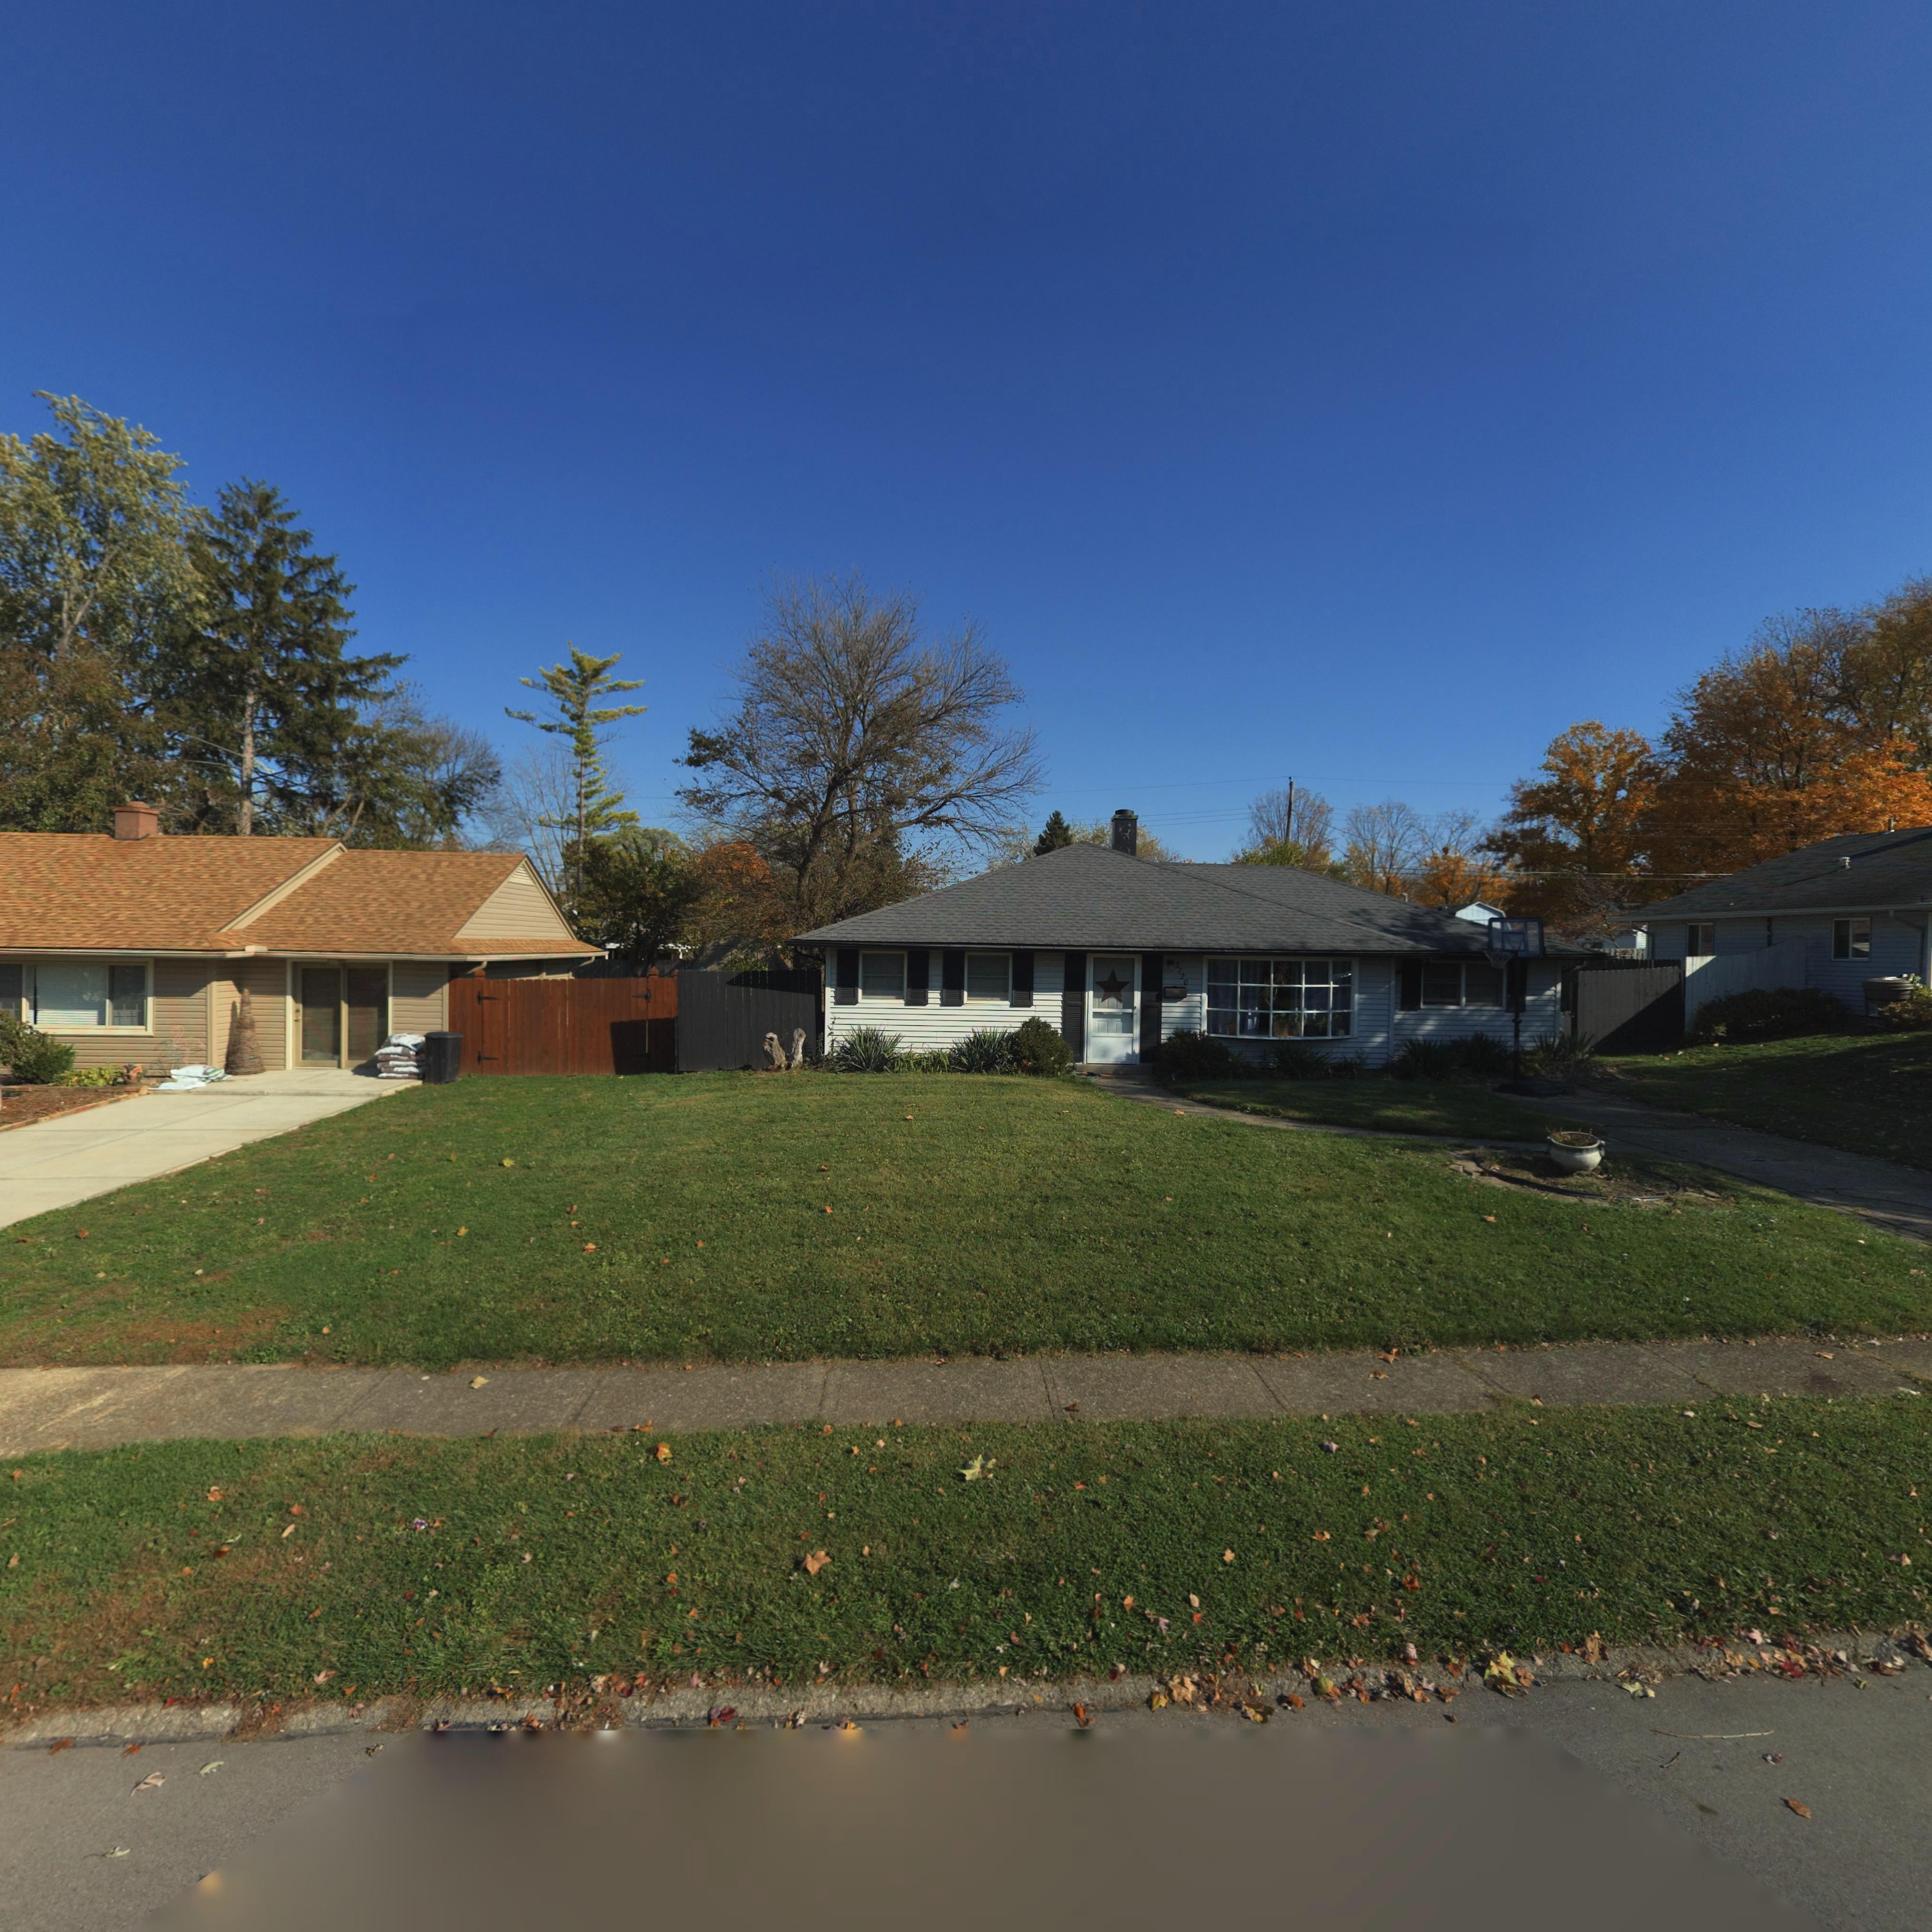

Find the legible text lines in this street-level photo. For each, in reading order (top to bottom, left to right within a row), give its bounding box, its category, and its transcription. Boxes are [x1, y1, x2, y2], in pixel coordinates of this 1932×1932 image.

[1174, 961, 1188, 985] StreetNumber: 5720